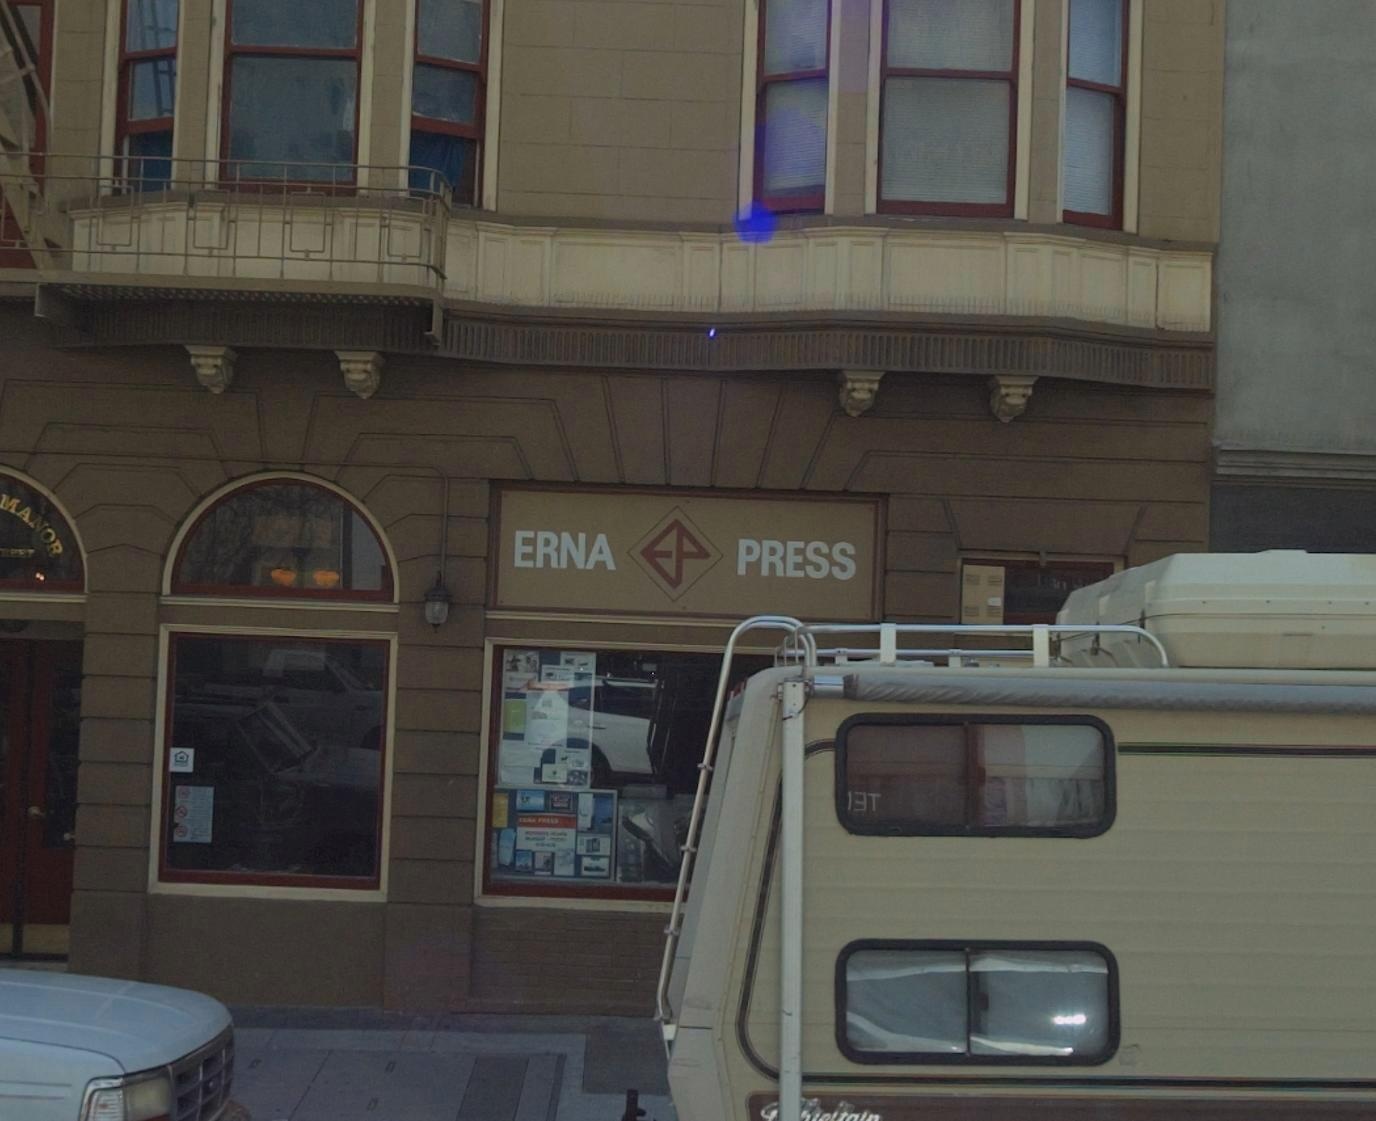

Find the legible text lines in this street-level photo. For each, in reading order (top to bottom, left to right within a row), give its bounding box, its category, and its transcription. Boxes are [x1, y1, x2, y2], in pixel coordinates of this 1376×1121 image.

[0, 491, 67, 562] BusinessName: MANOR
[512, 529, 619, 572] BusinessName: ERNA
[635, 514, 714, 594] None: EP
[734, 536, 862, 583] BusinessName: PRESS
[849, 787, 884, 817] None: *T